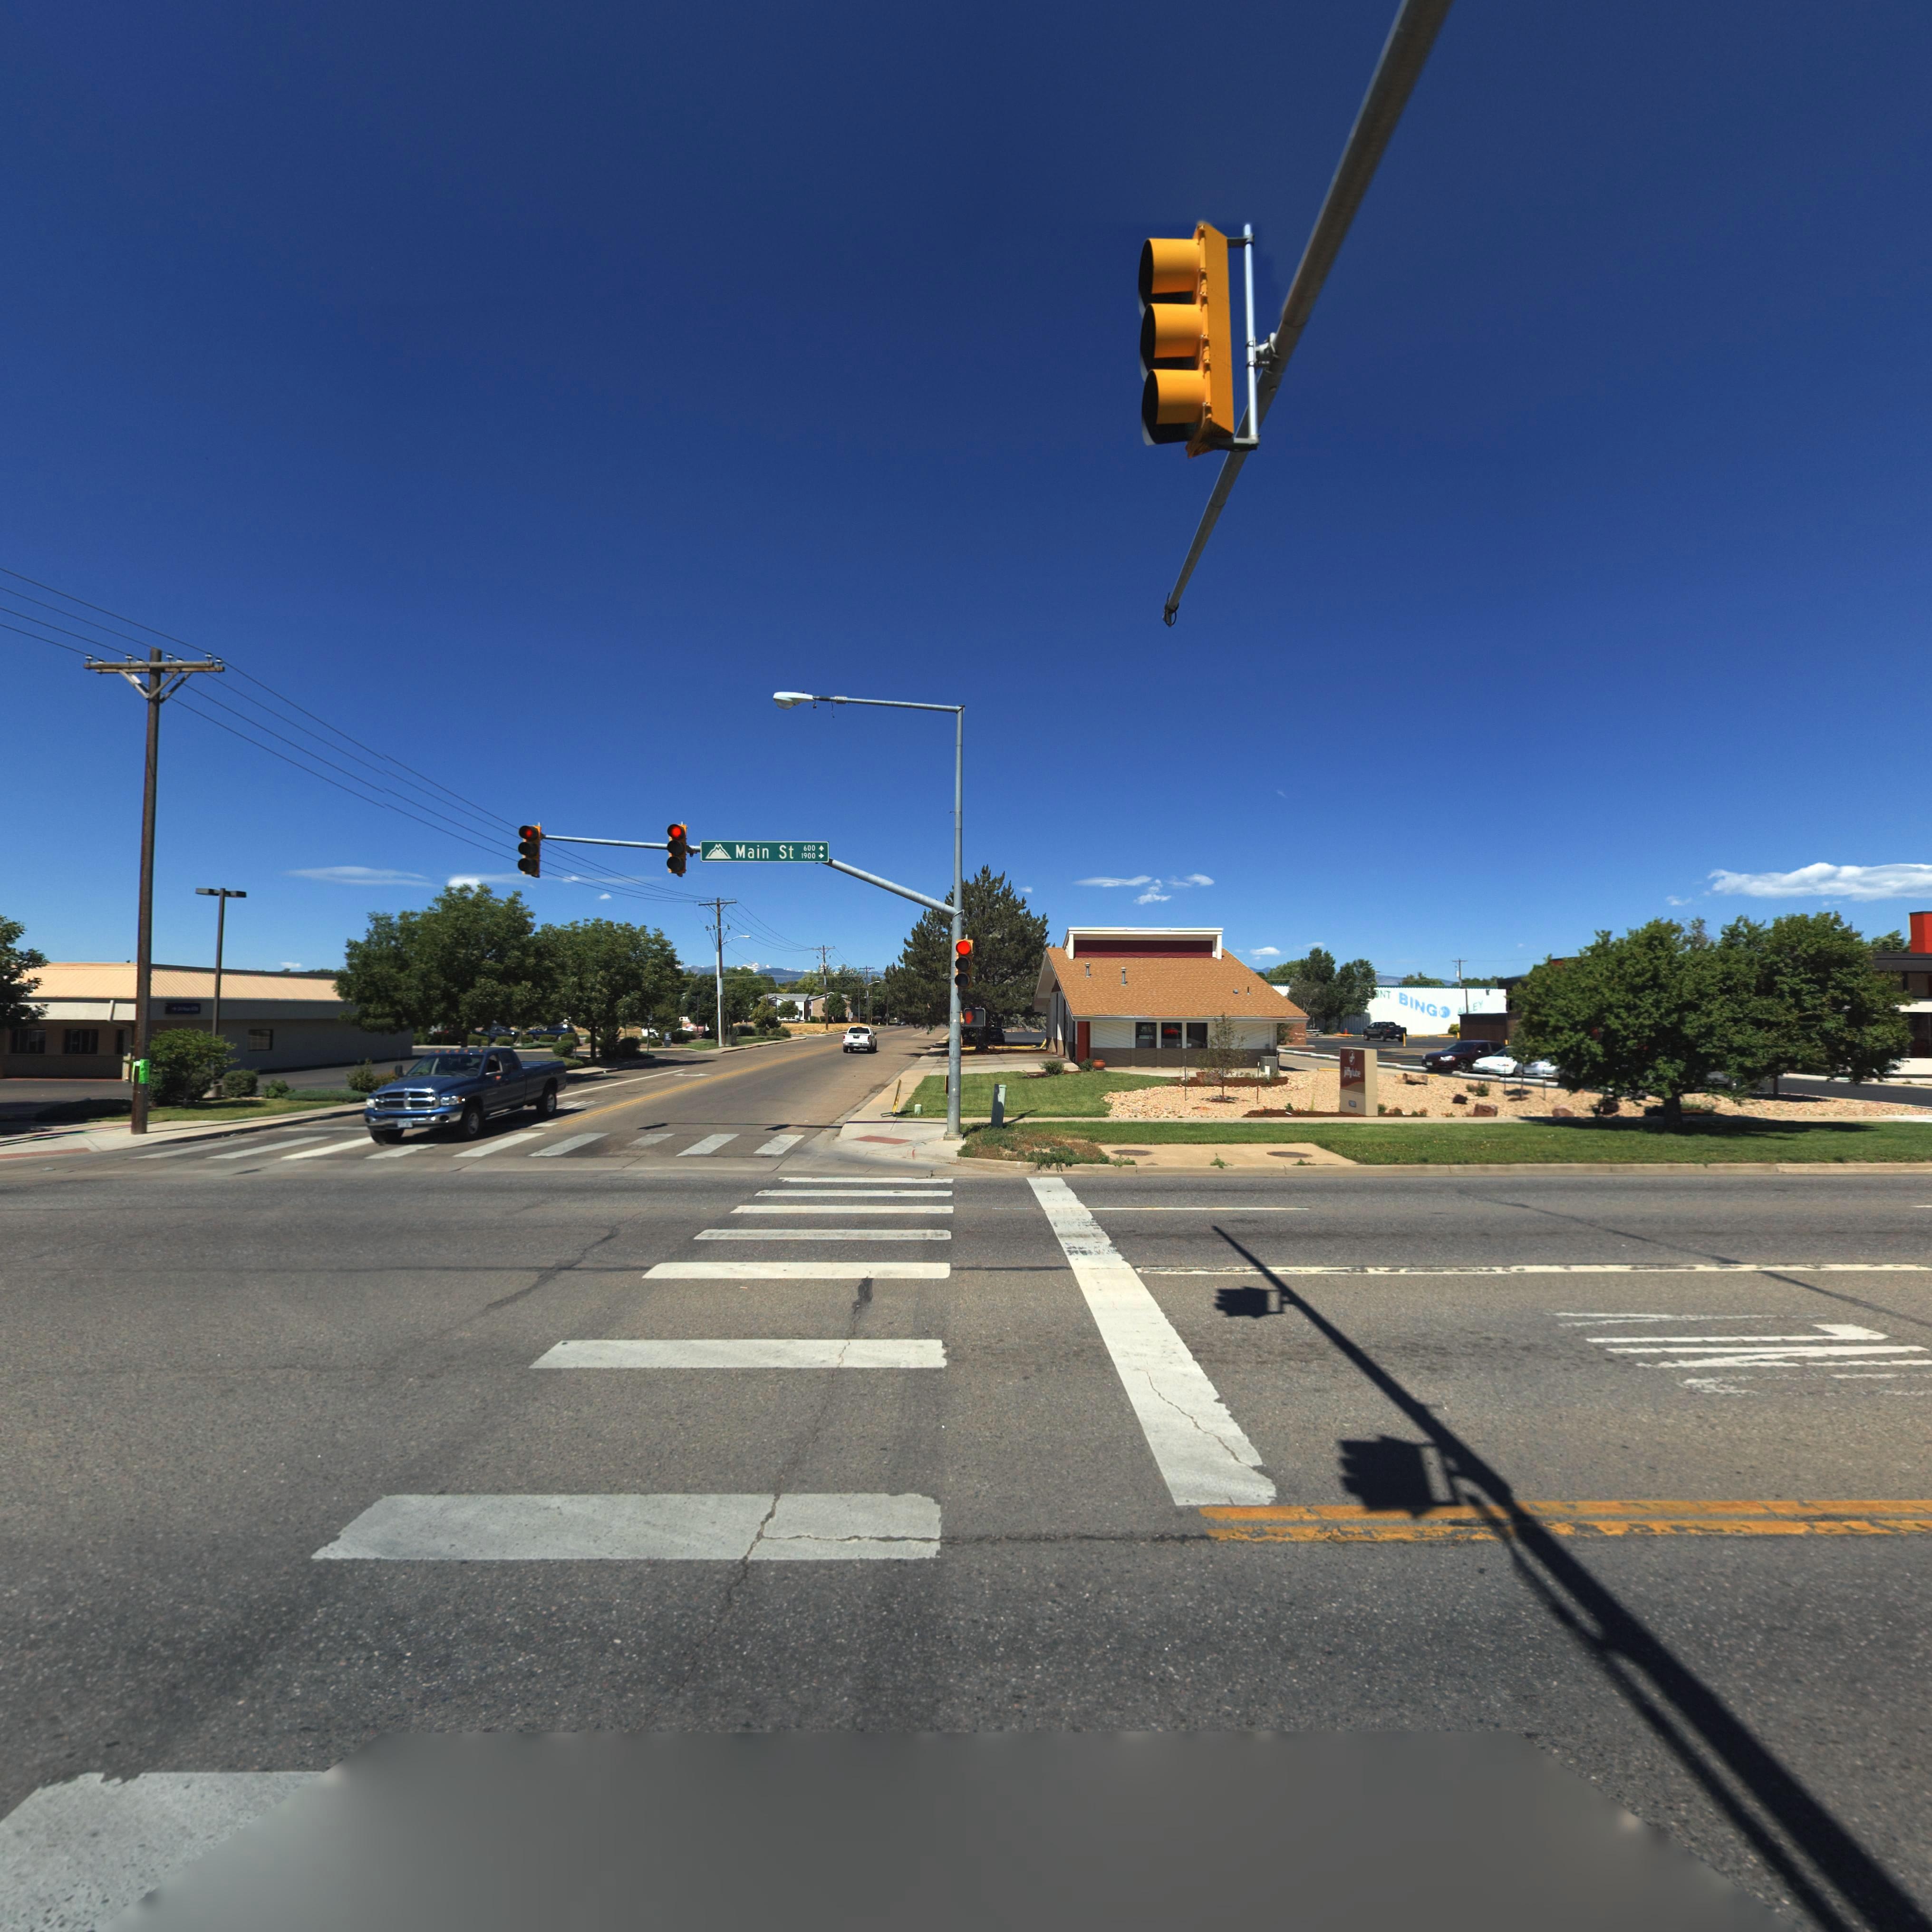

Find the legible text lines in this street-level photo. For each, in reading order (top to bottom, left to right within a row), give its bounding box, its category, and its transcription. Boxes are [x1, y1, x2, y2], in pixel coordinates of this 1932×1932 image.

[735, 844, 794, 859] StreetName: Main St
[802, 844, 816, 851] StreetNumberRange: 600
[801, 852, 825, 859] StreetNumberRange: 1900->
[1380, 989, 1484, 1019] BusinessName: NT BING* A*LEY
[1343, 1066, 1361, 1079] BusinessName: jiffylube